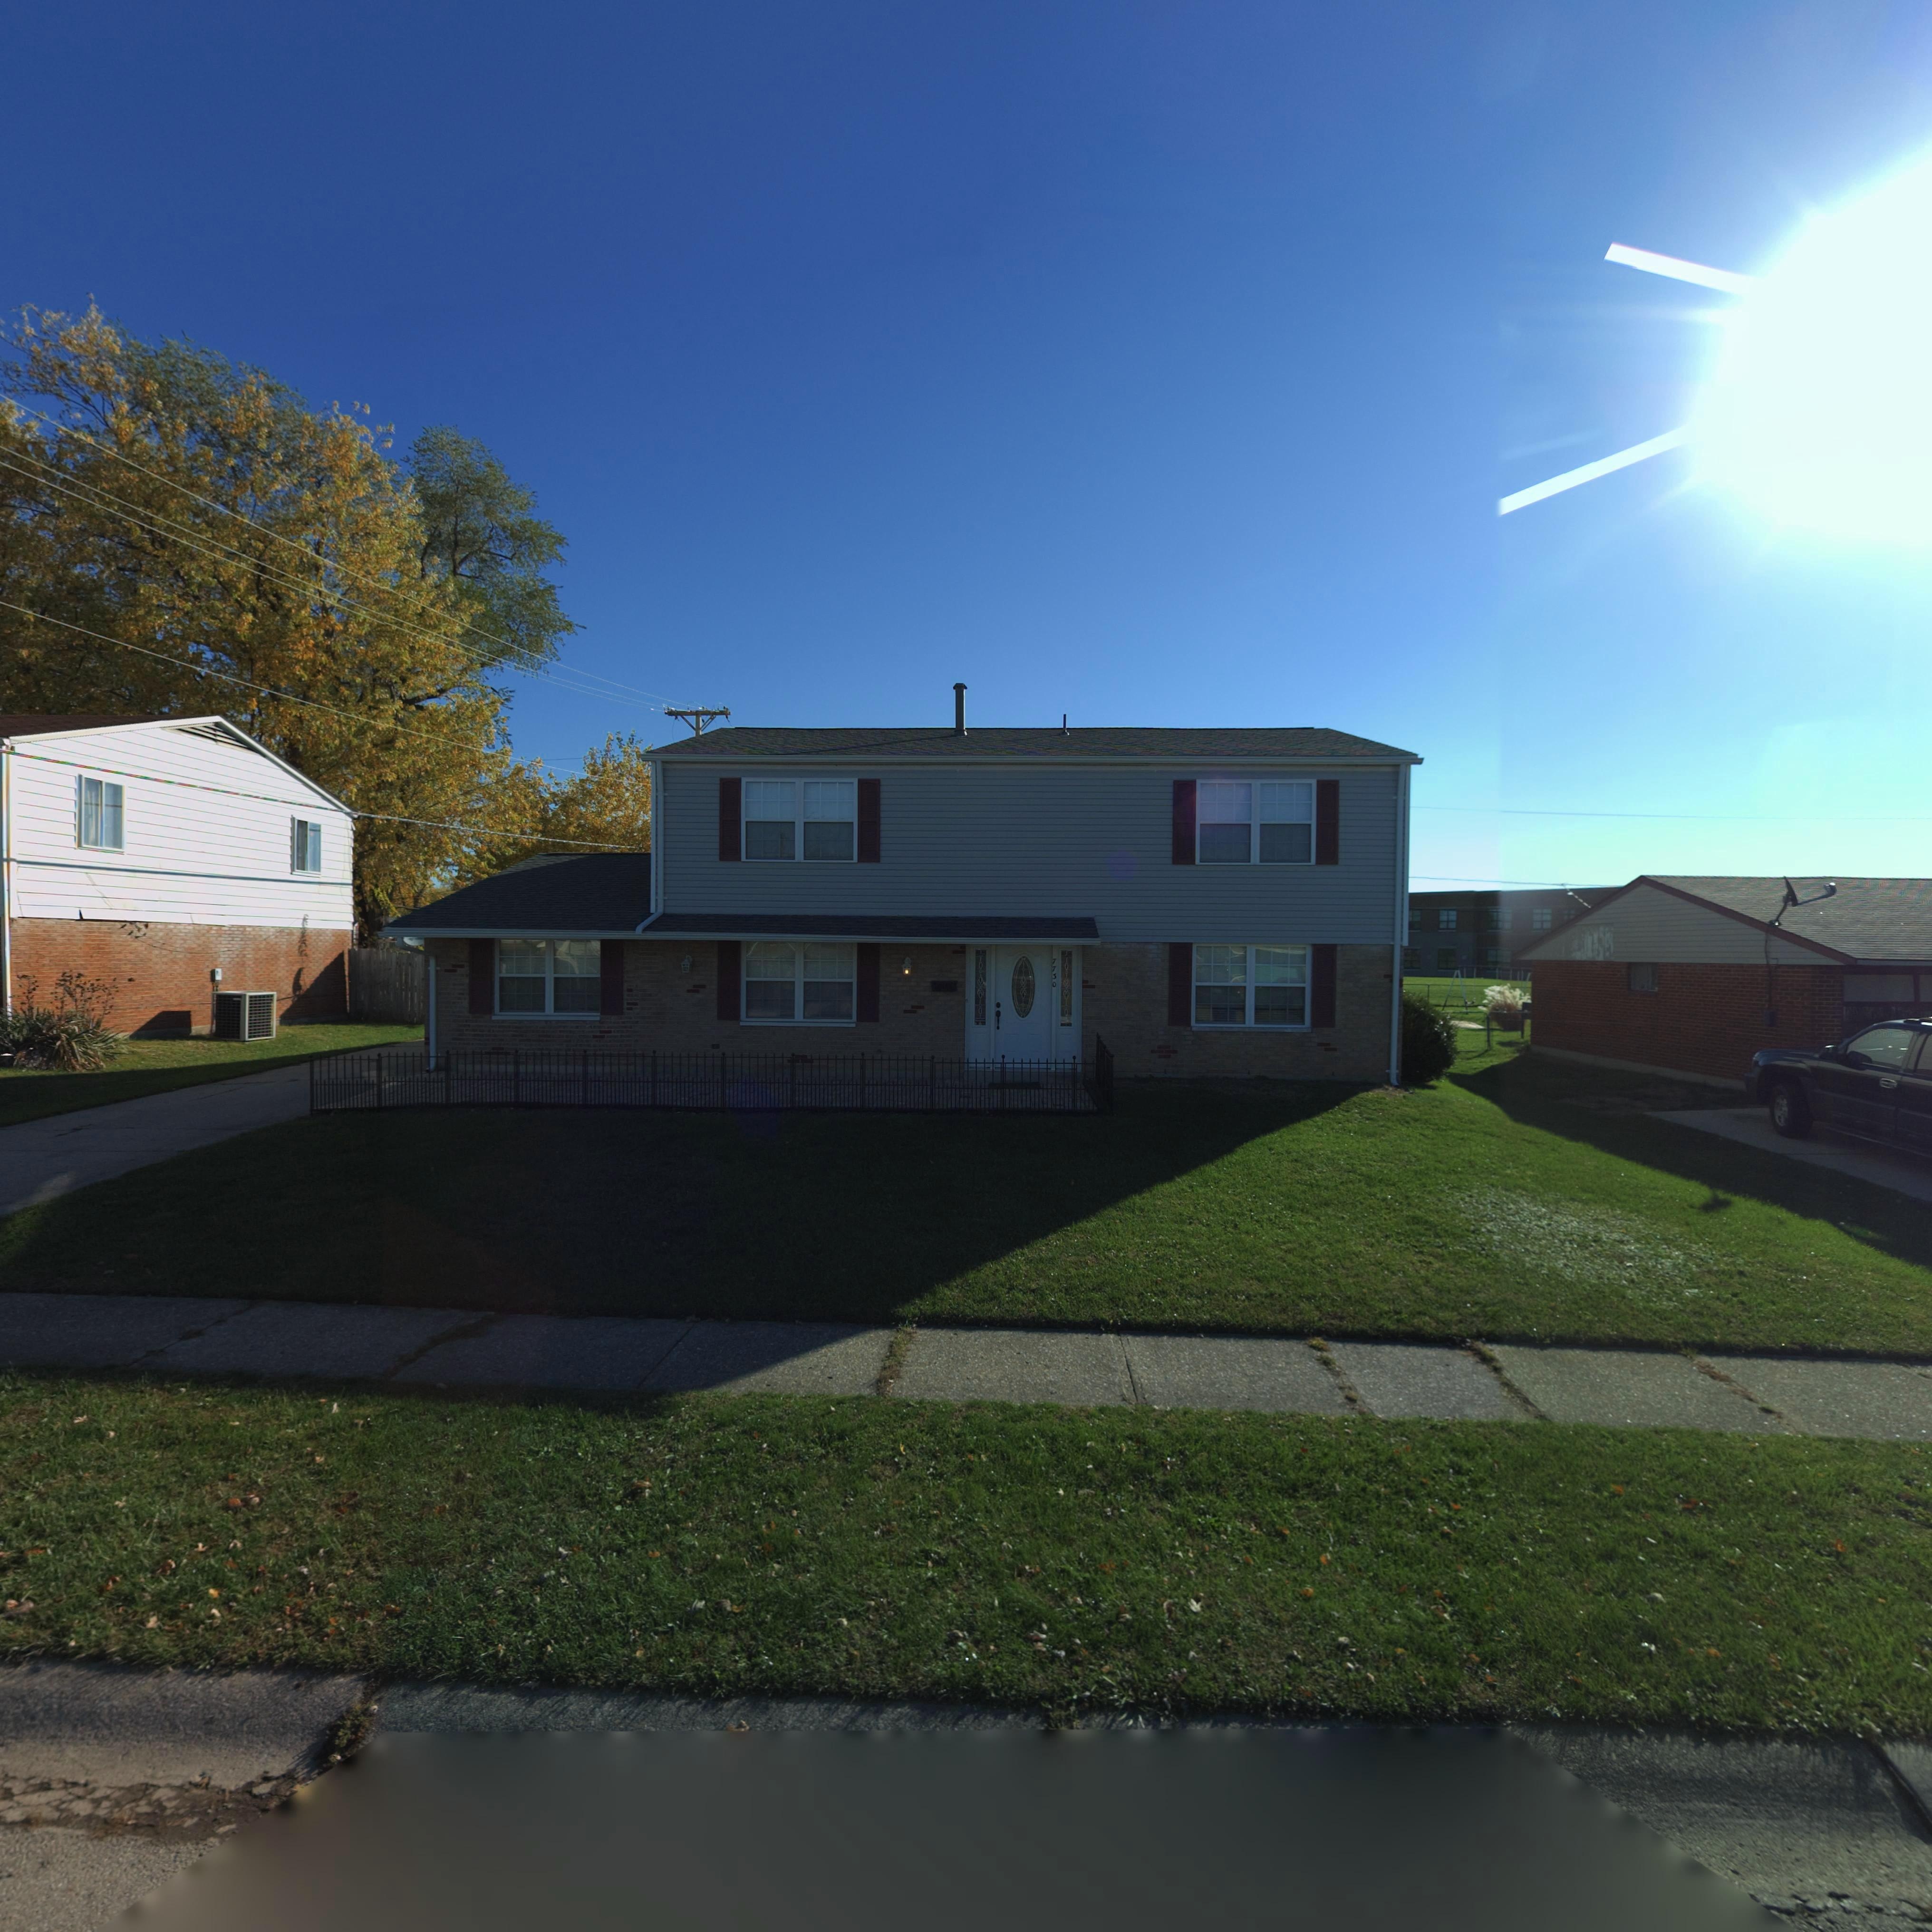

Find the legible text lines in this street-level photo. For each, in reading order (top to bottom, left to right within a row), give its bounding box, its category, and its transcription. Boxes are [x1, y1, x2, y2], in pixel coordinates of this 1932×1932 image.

[1051, 957, 1057, 989] StreetNumber: 7730